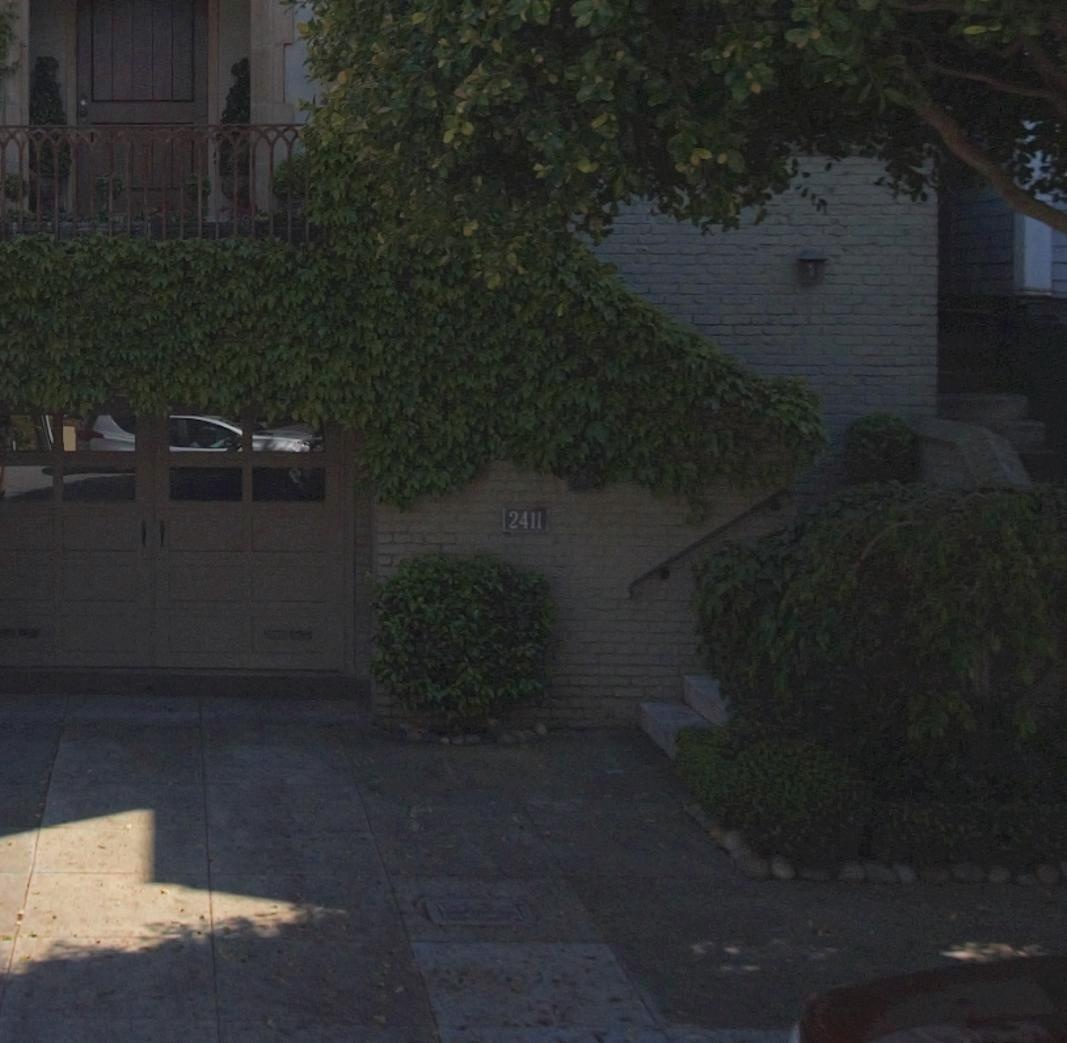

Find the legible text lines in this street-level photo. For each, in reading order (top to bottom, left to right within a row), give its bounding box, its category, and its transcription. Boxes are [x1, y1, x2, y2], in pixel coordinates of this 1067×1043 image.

[508, 510, 543, 530] StreetNumber: 2411